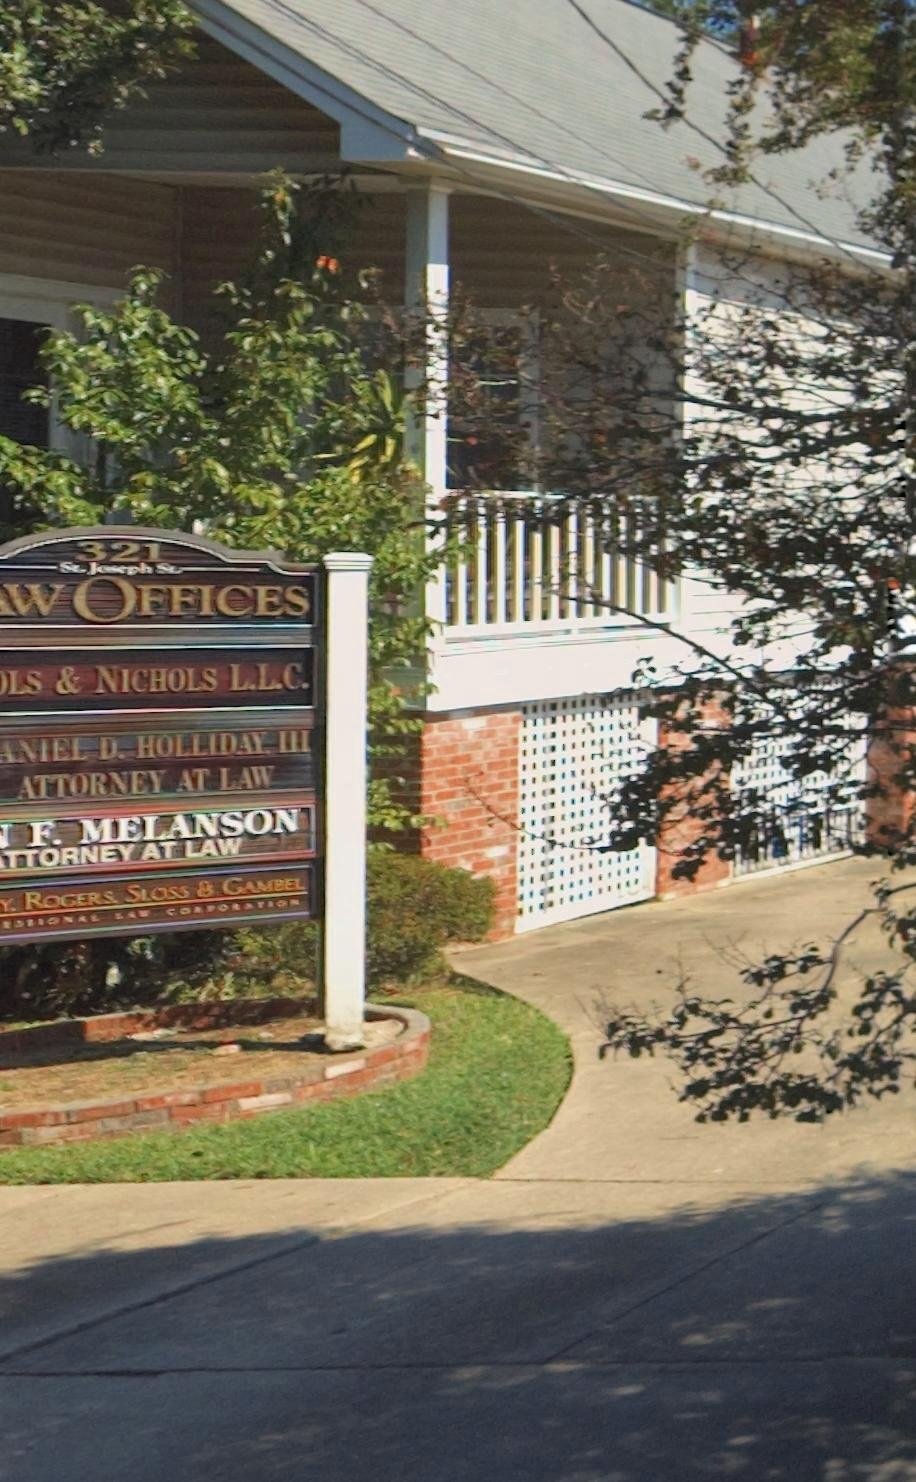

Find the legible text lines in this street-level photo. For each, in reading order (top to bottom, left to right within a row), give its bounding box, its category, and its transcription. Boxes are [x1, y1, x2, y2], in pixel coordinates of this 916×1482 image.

[73, 539, 166, 565] StreetNumber: 321
[55, 557, 188, 577] StreetName: ST. JO**PH St
[1, 573, 313, 626] BusinessName: W OFFICES
[4, 659, 314, 699] BusinessName: LS & NICHOLS L.L.C.
[12, 726, 315, 767] BusinessName: NIEL D. HOLLIDAY III
[9, 761, 280, 805] BusinessName: ATTORNEY AT LAW
[22, 804, 302, 851] BusinessName: F. MELANSON
[0, 834, 247, 872] BusinessName: TTORNEY AT LAW
[21, 874, 308, 914] BusinessName: ROGERS, SLOSS & GAMBEL
[163, 903, 195, 920] BusinessName: CO